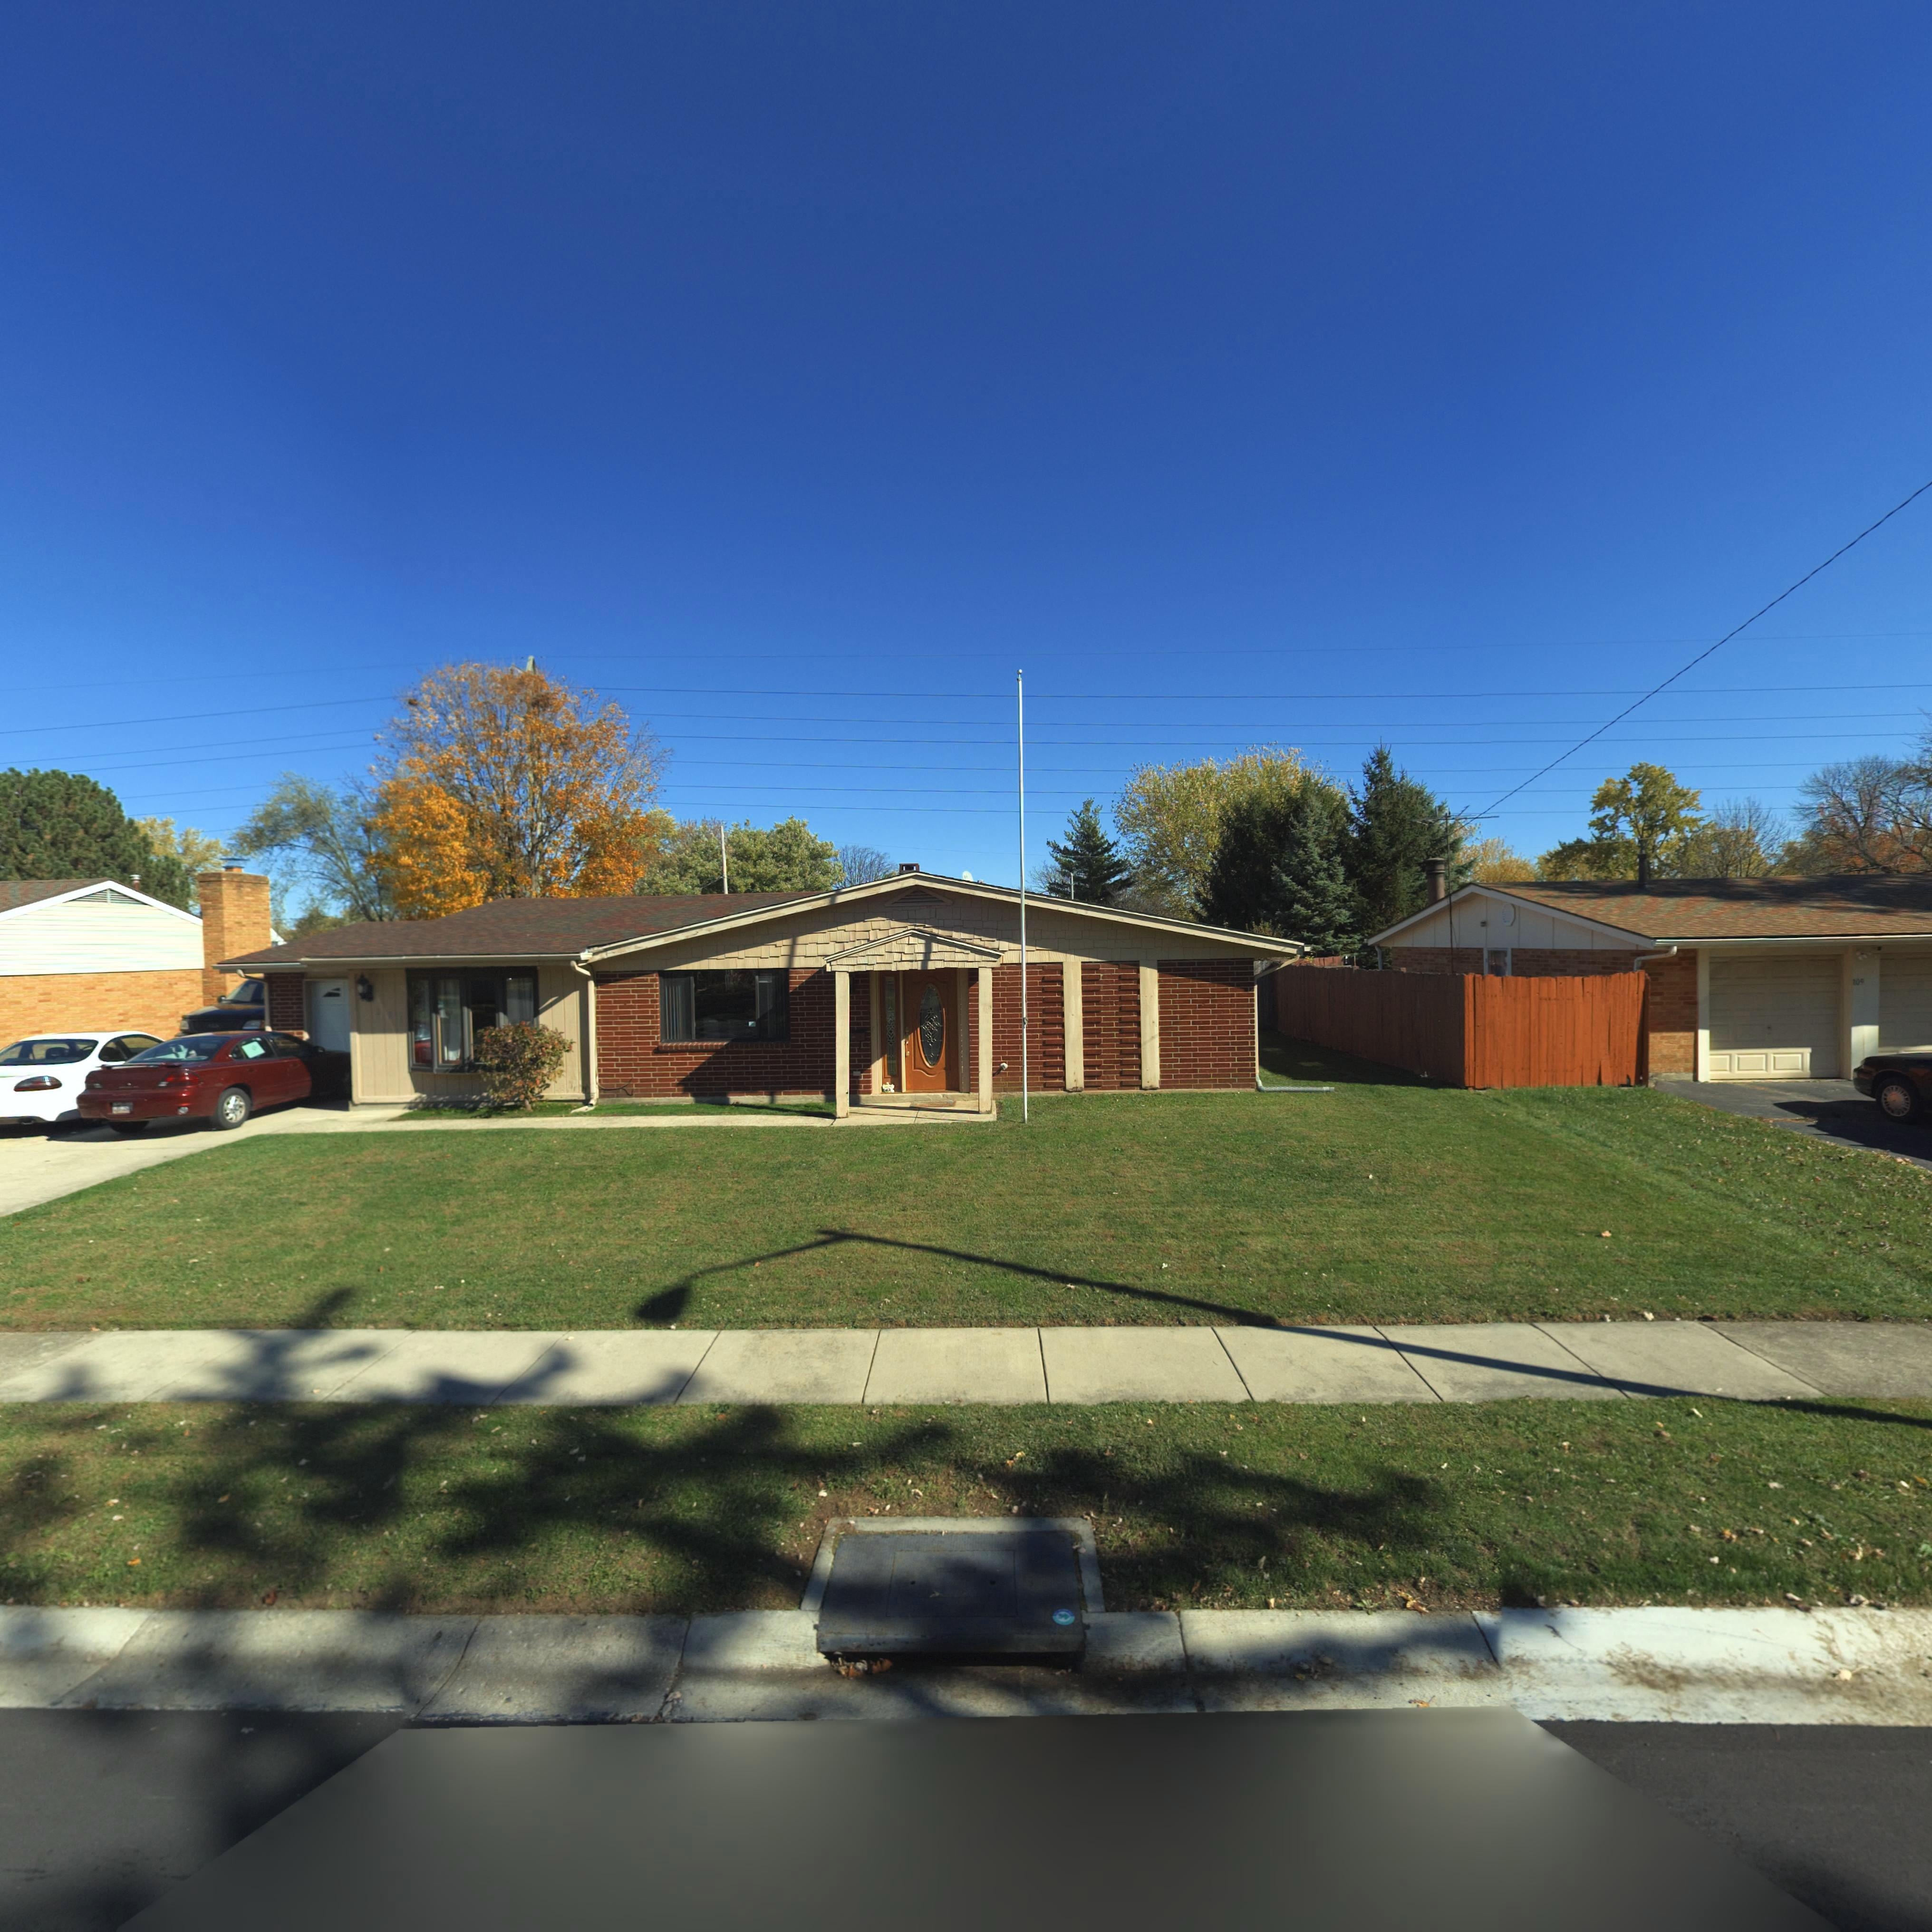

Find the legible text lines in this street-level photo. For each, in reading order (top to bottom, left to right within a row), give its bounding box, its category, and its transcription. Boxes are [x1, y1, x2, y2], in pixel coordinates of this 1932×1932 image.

[1851, 977, 1864, 986] StreetNumber: *09
[375, 1007, 404, 1024] StreetNumber: **1